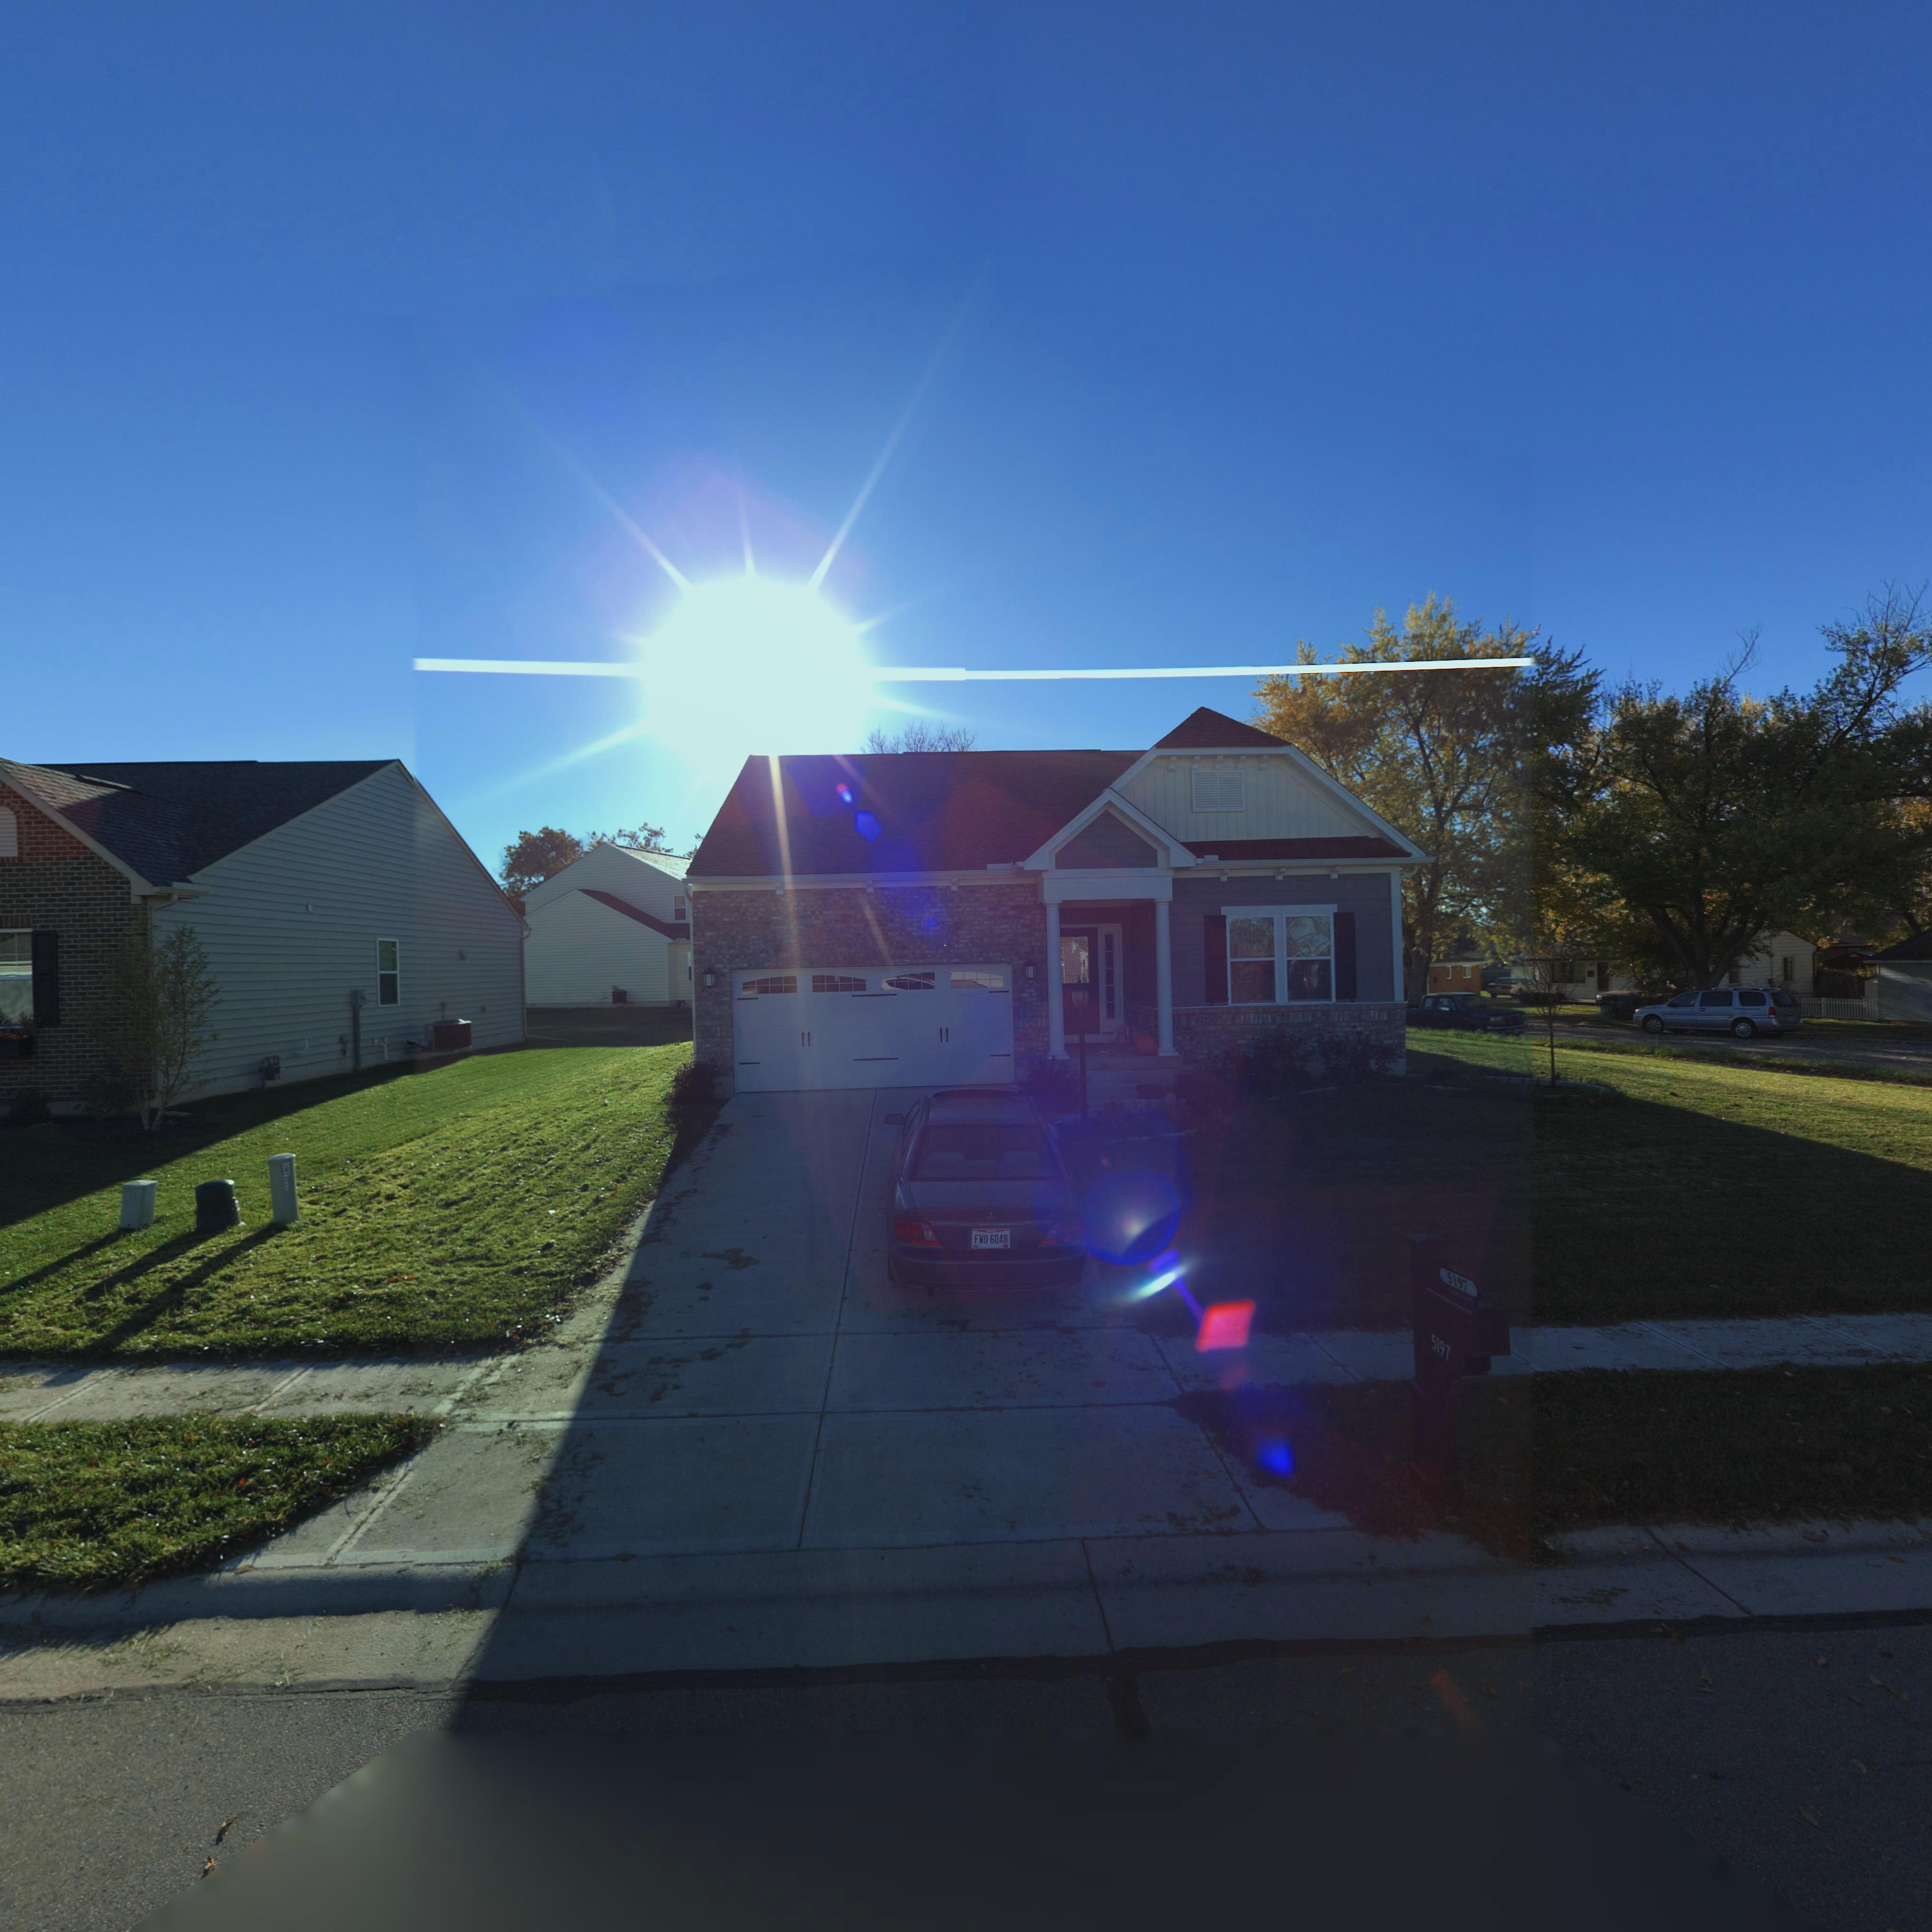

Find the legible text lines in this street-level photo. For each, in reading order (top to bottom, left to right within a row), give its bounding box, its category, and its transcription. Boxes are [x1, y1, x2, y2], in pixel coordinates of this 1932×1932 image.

[1446, 1271, 1469, 1292] StreetNumber: 5197
[1430, 1332, 1452, 1362] StreetNumber: 5197